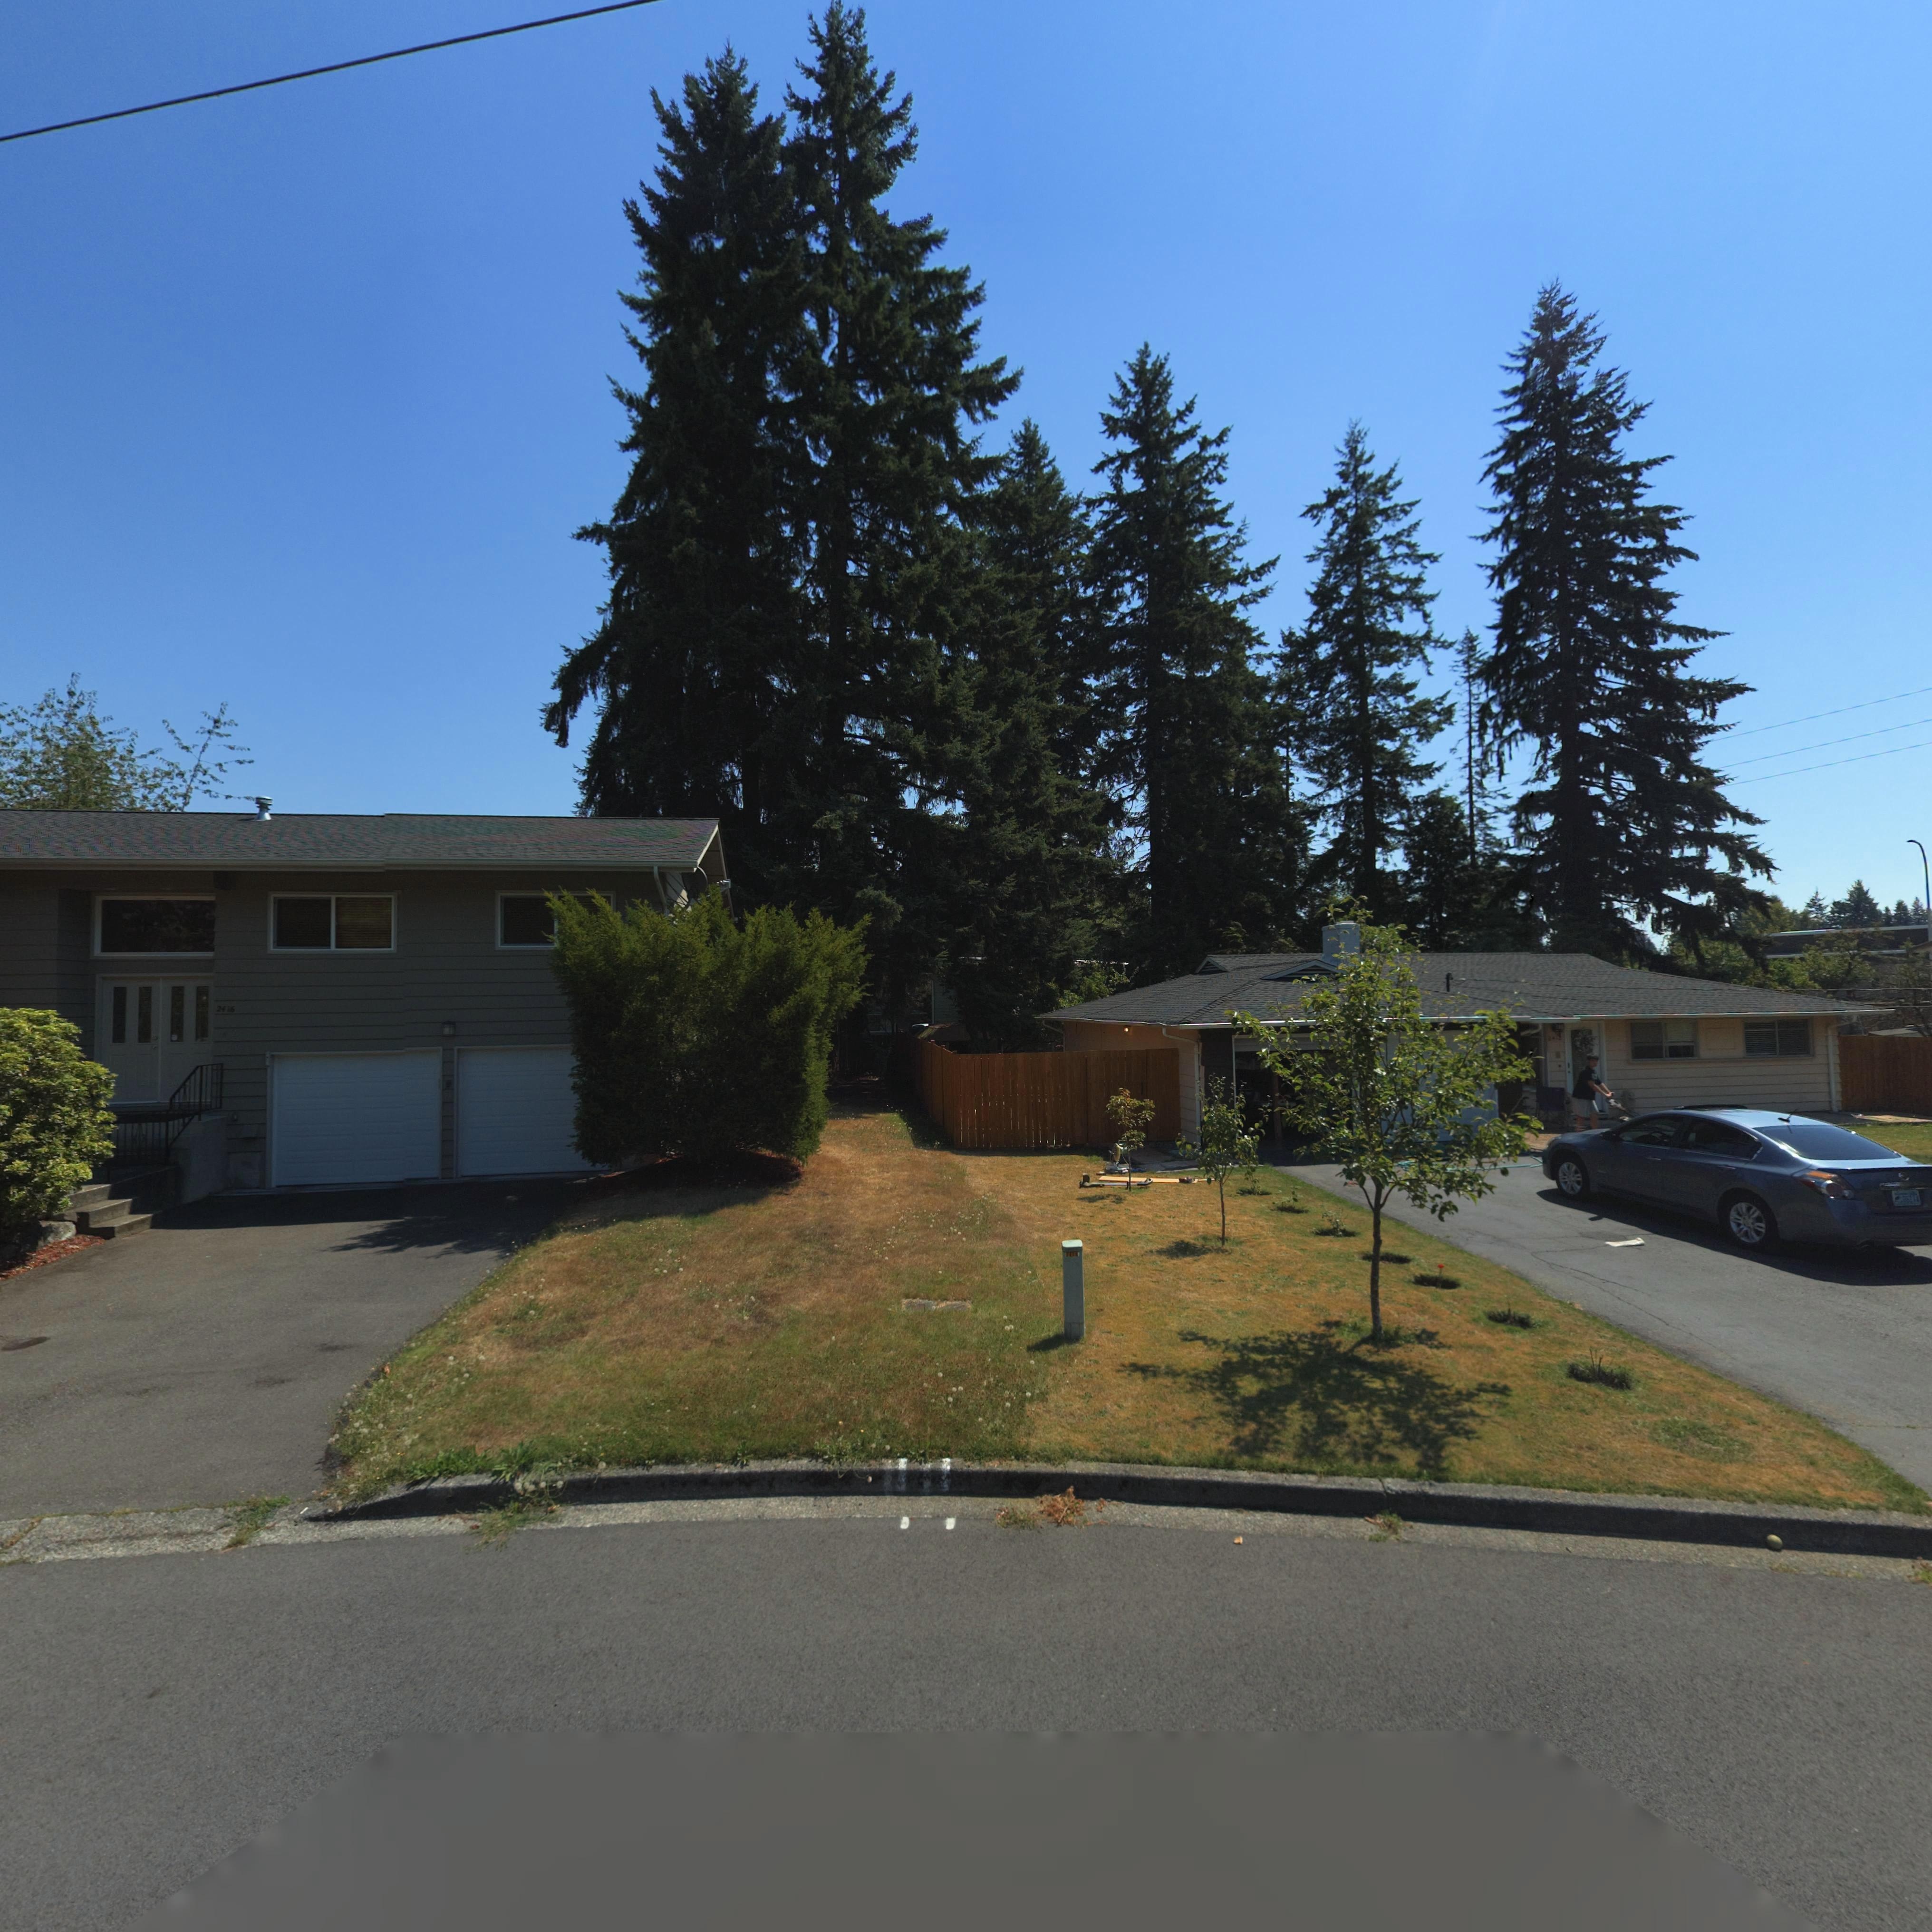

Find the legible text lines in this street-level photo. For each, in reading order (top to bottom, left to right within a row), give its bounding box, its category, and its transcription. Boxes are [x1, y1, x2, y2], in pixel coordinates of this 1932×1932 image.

[215, 1004, 235, 1013] StreetNumber: 2416